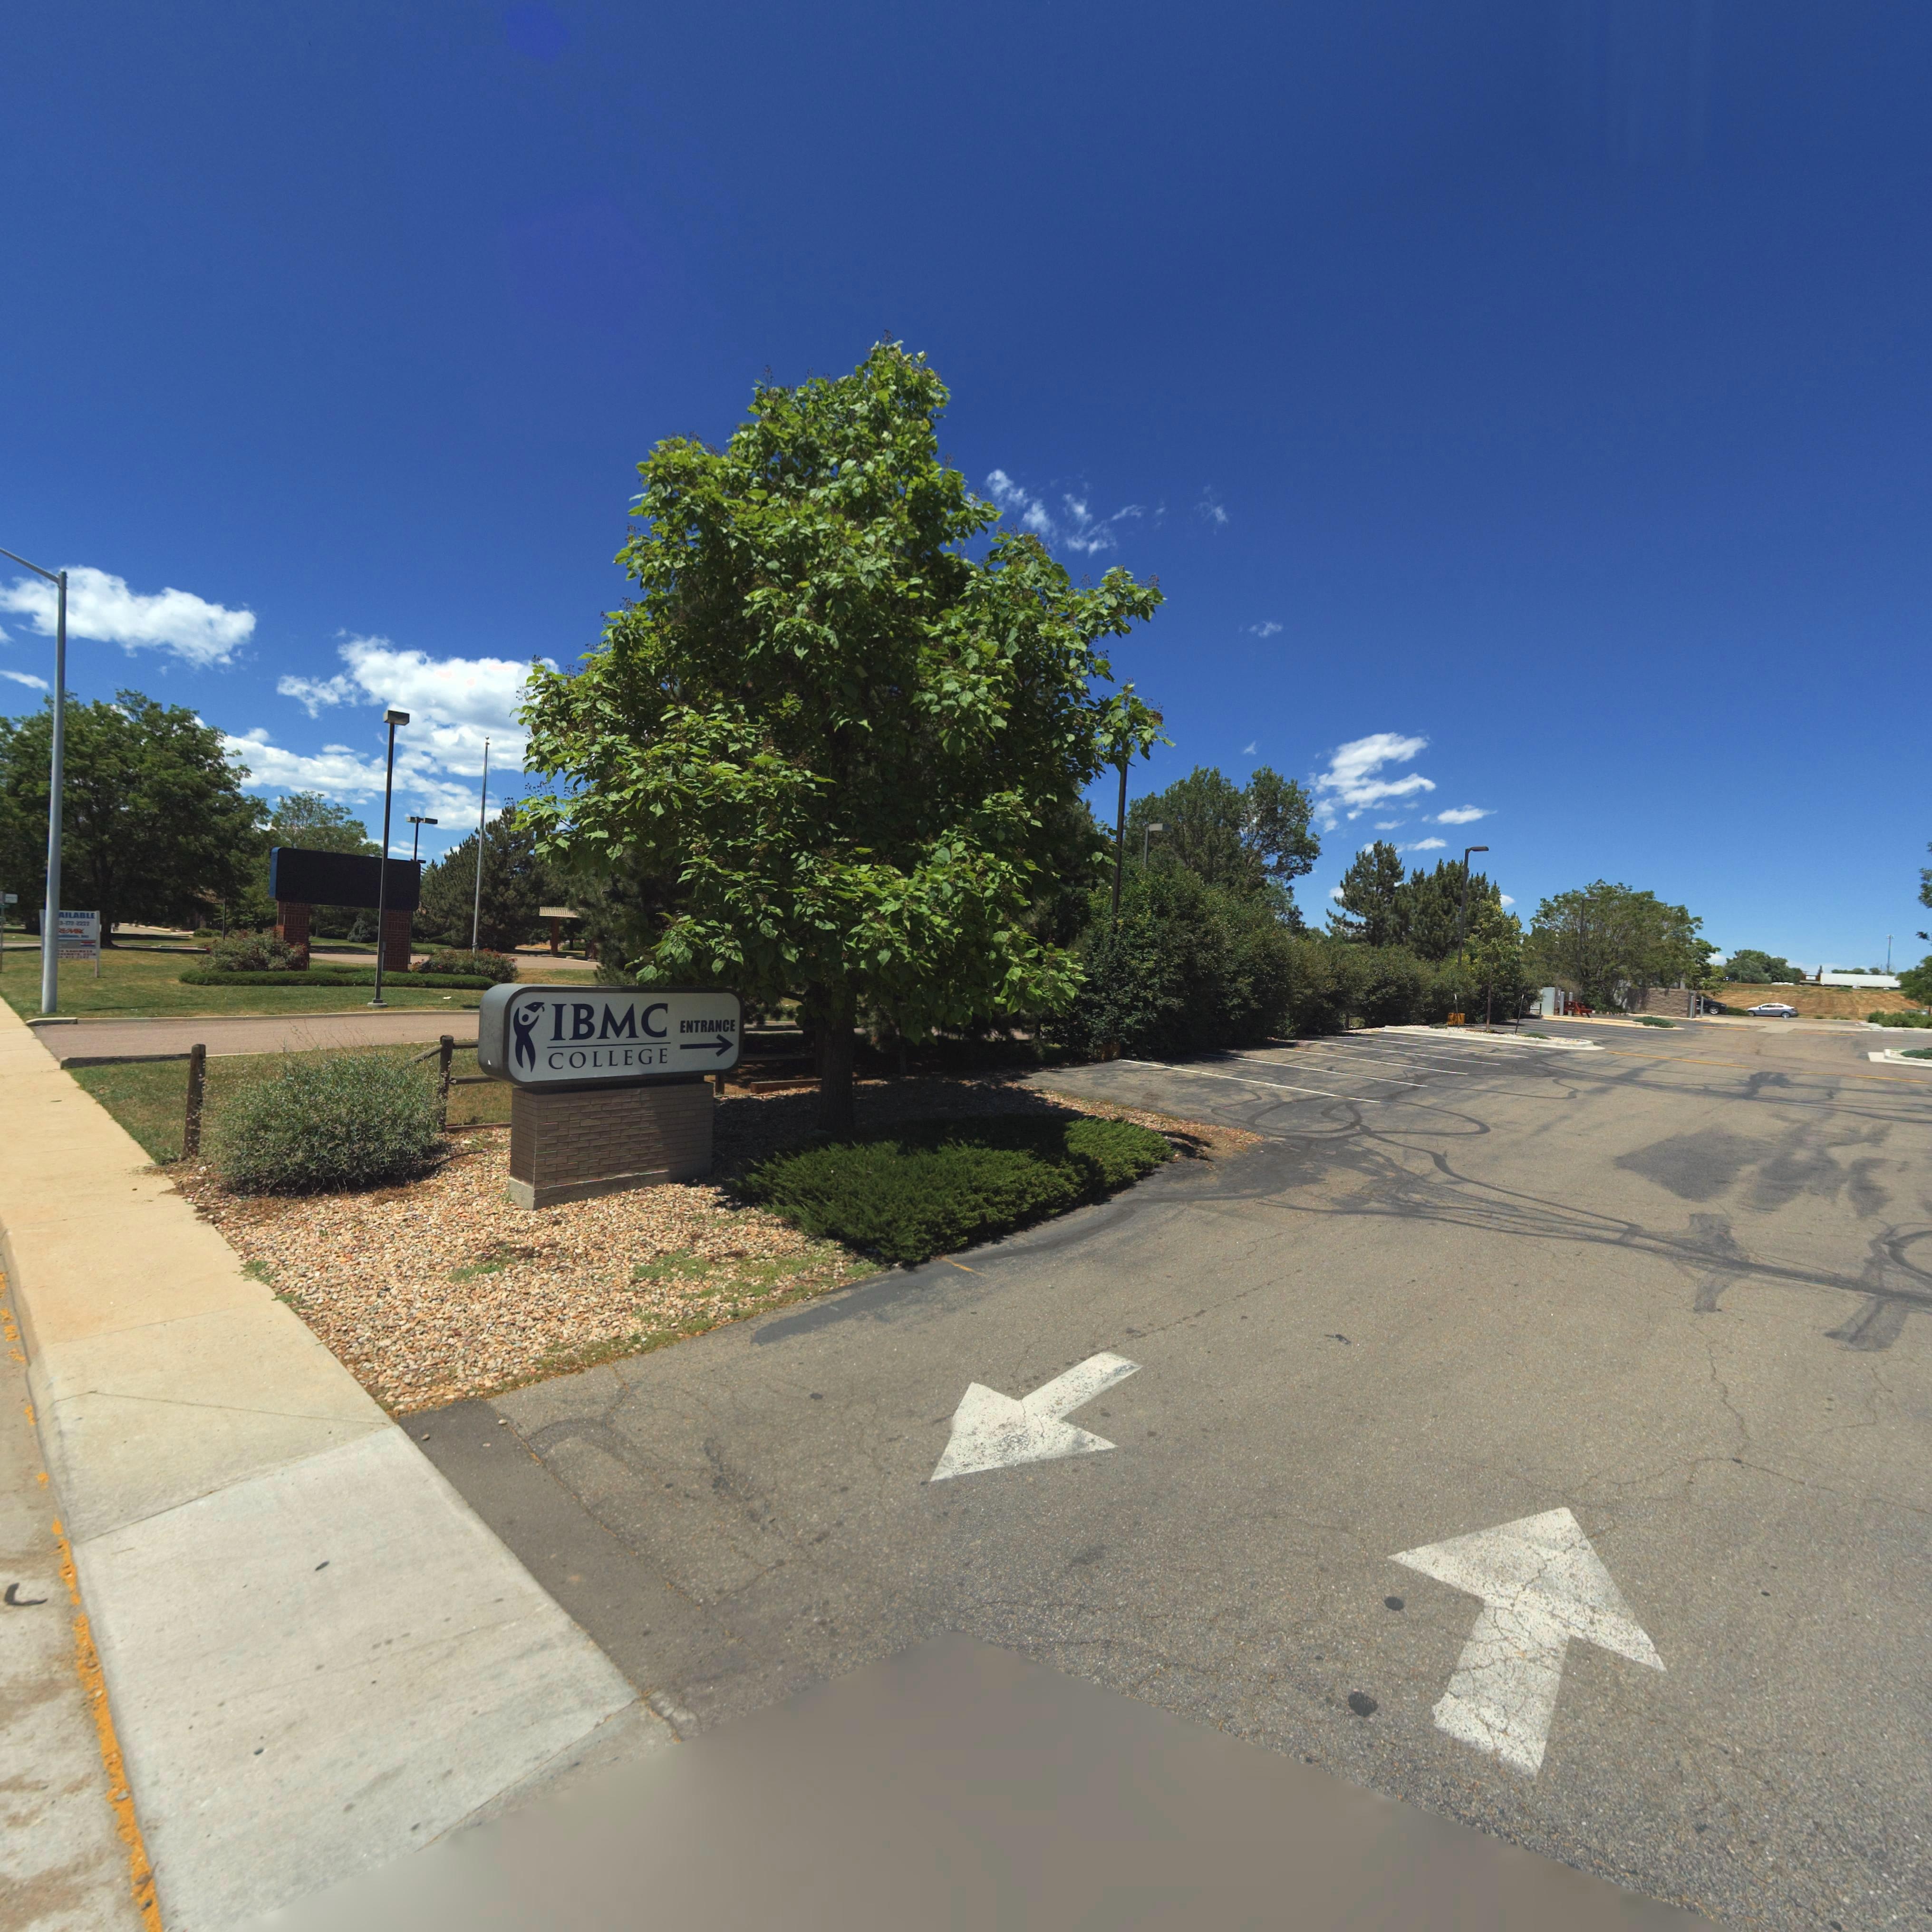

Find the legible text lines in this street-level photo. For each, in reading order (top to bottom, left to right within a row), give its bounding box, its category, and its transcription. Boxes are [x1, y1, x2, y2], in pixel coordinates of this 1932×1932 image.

[549, 1002, 668, 1041] BusinessName: IBMC
[548, 1047, 668, 1070] BusinessName: COLLEGE